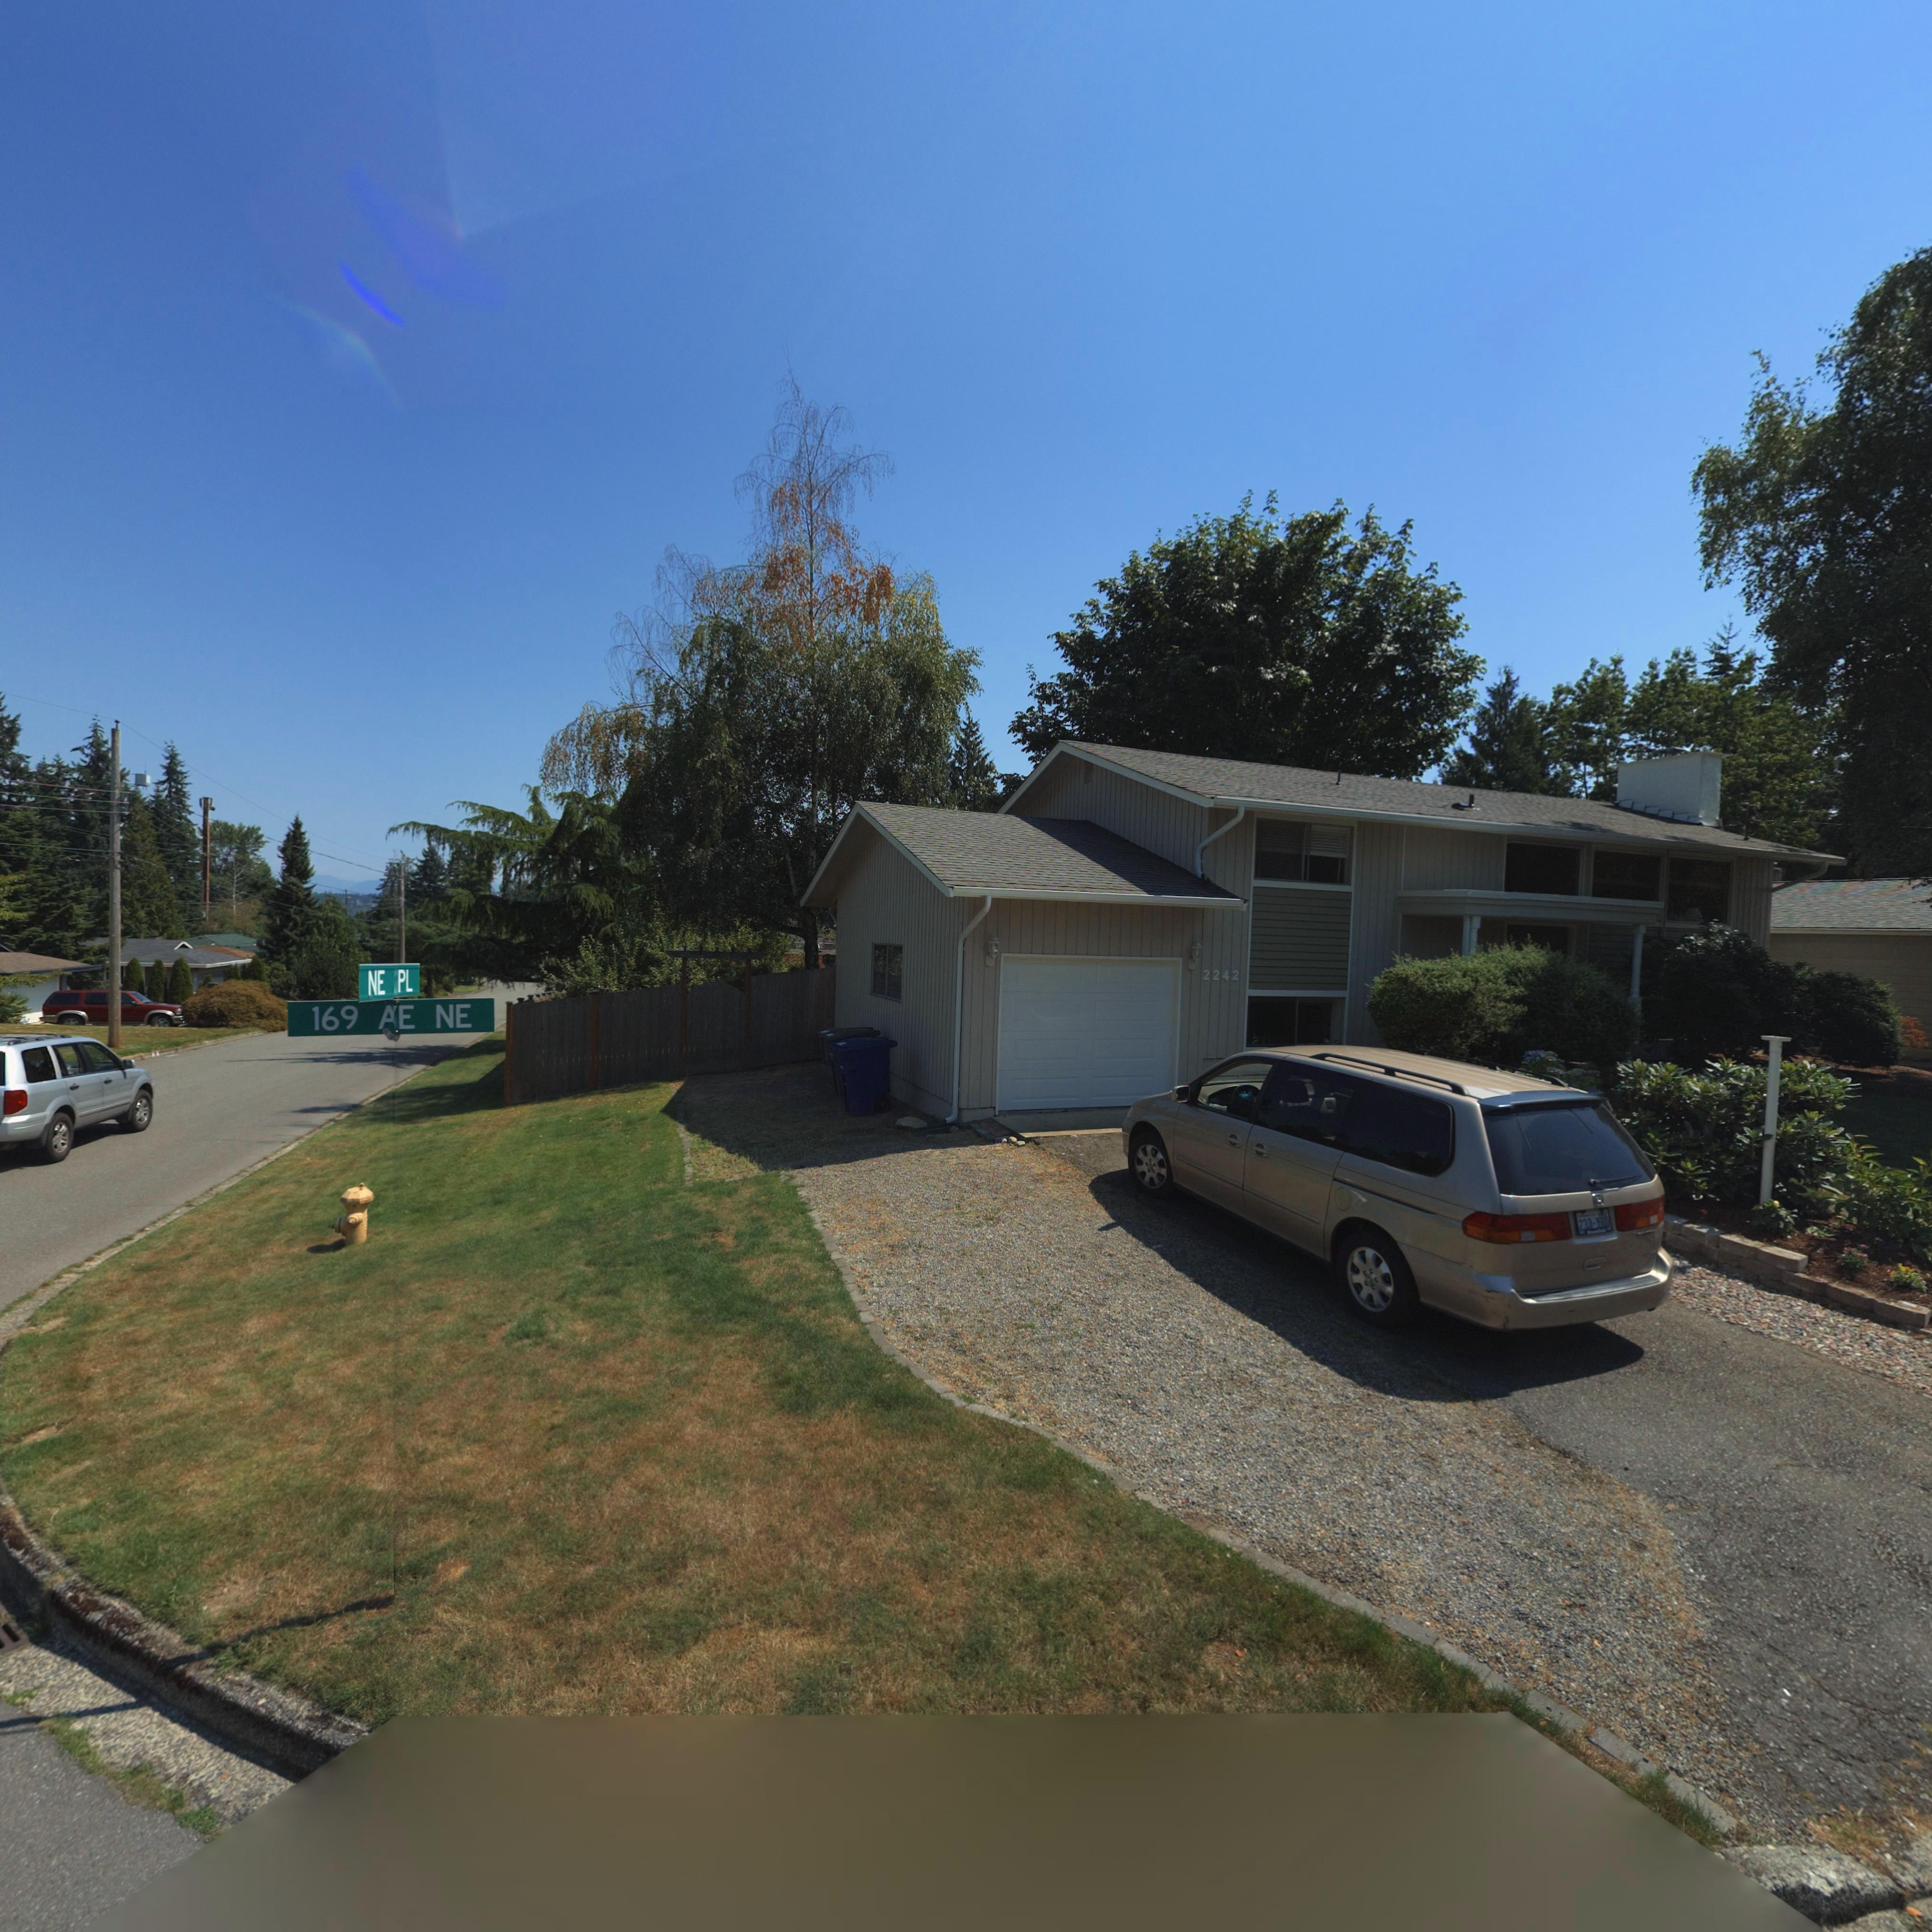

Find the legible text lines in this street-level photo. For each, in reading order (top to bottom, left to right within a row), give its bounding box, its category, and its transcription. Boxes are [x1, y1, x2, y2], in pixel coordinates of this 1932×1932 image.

[1201, 969, 1239, 981] StreetNumber: 2242
[311, 1002, 474, 1033] StreetName: 169 *E NE